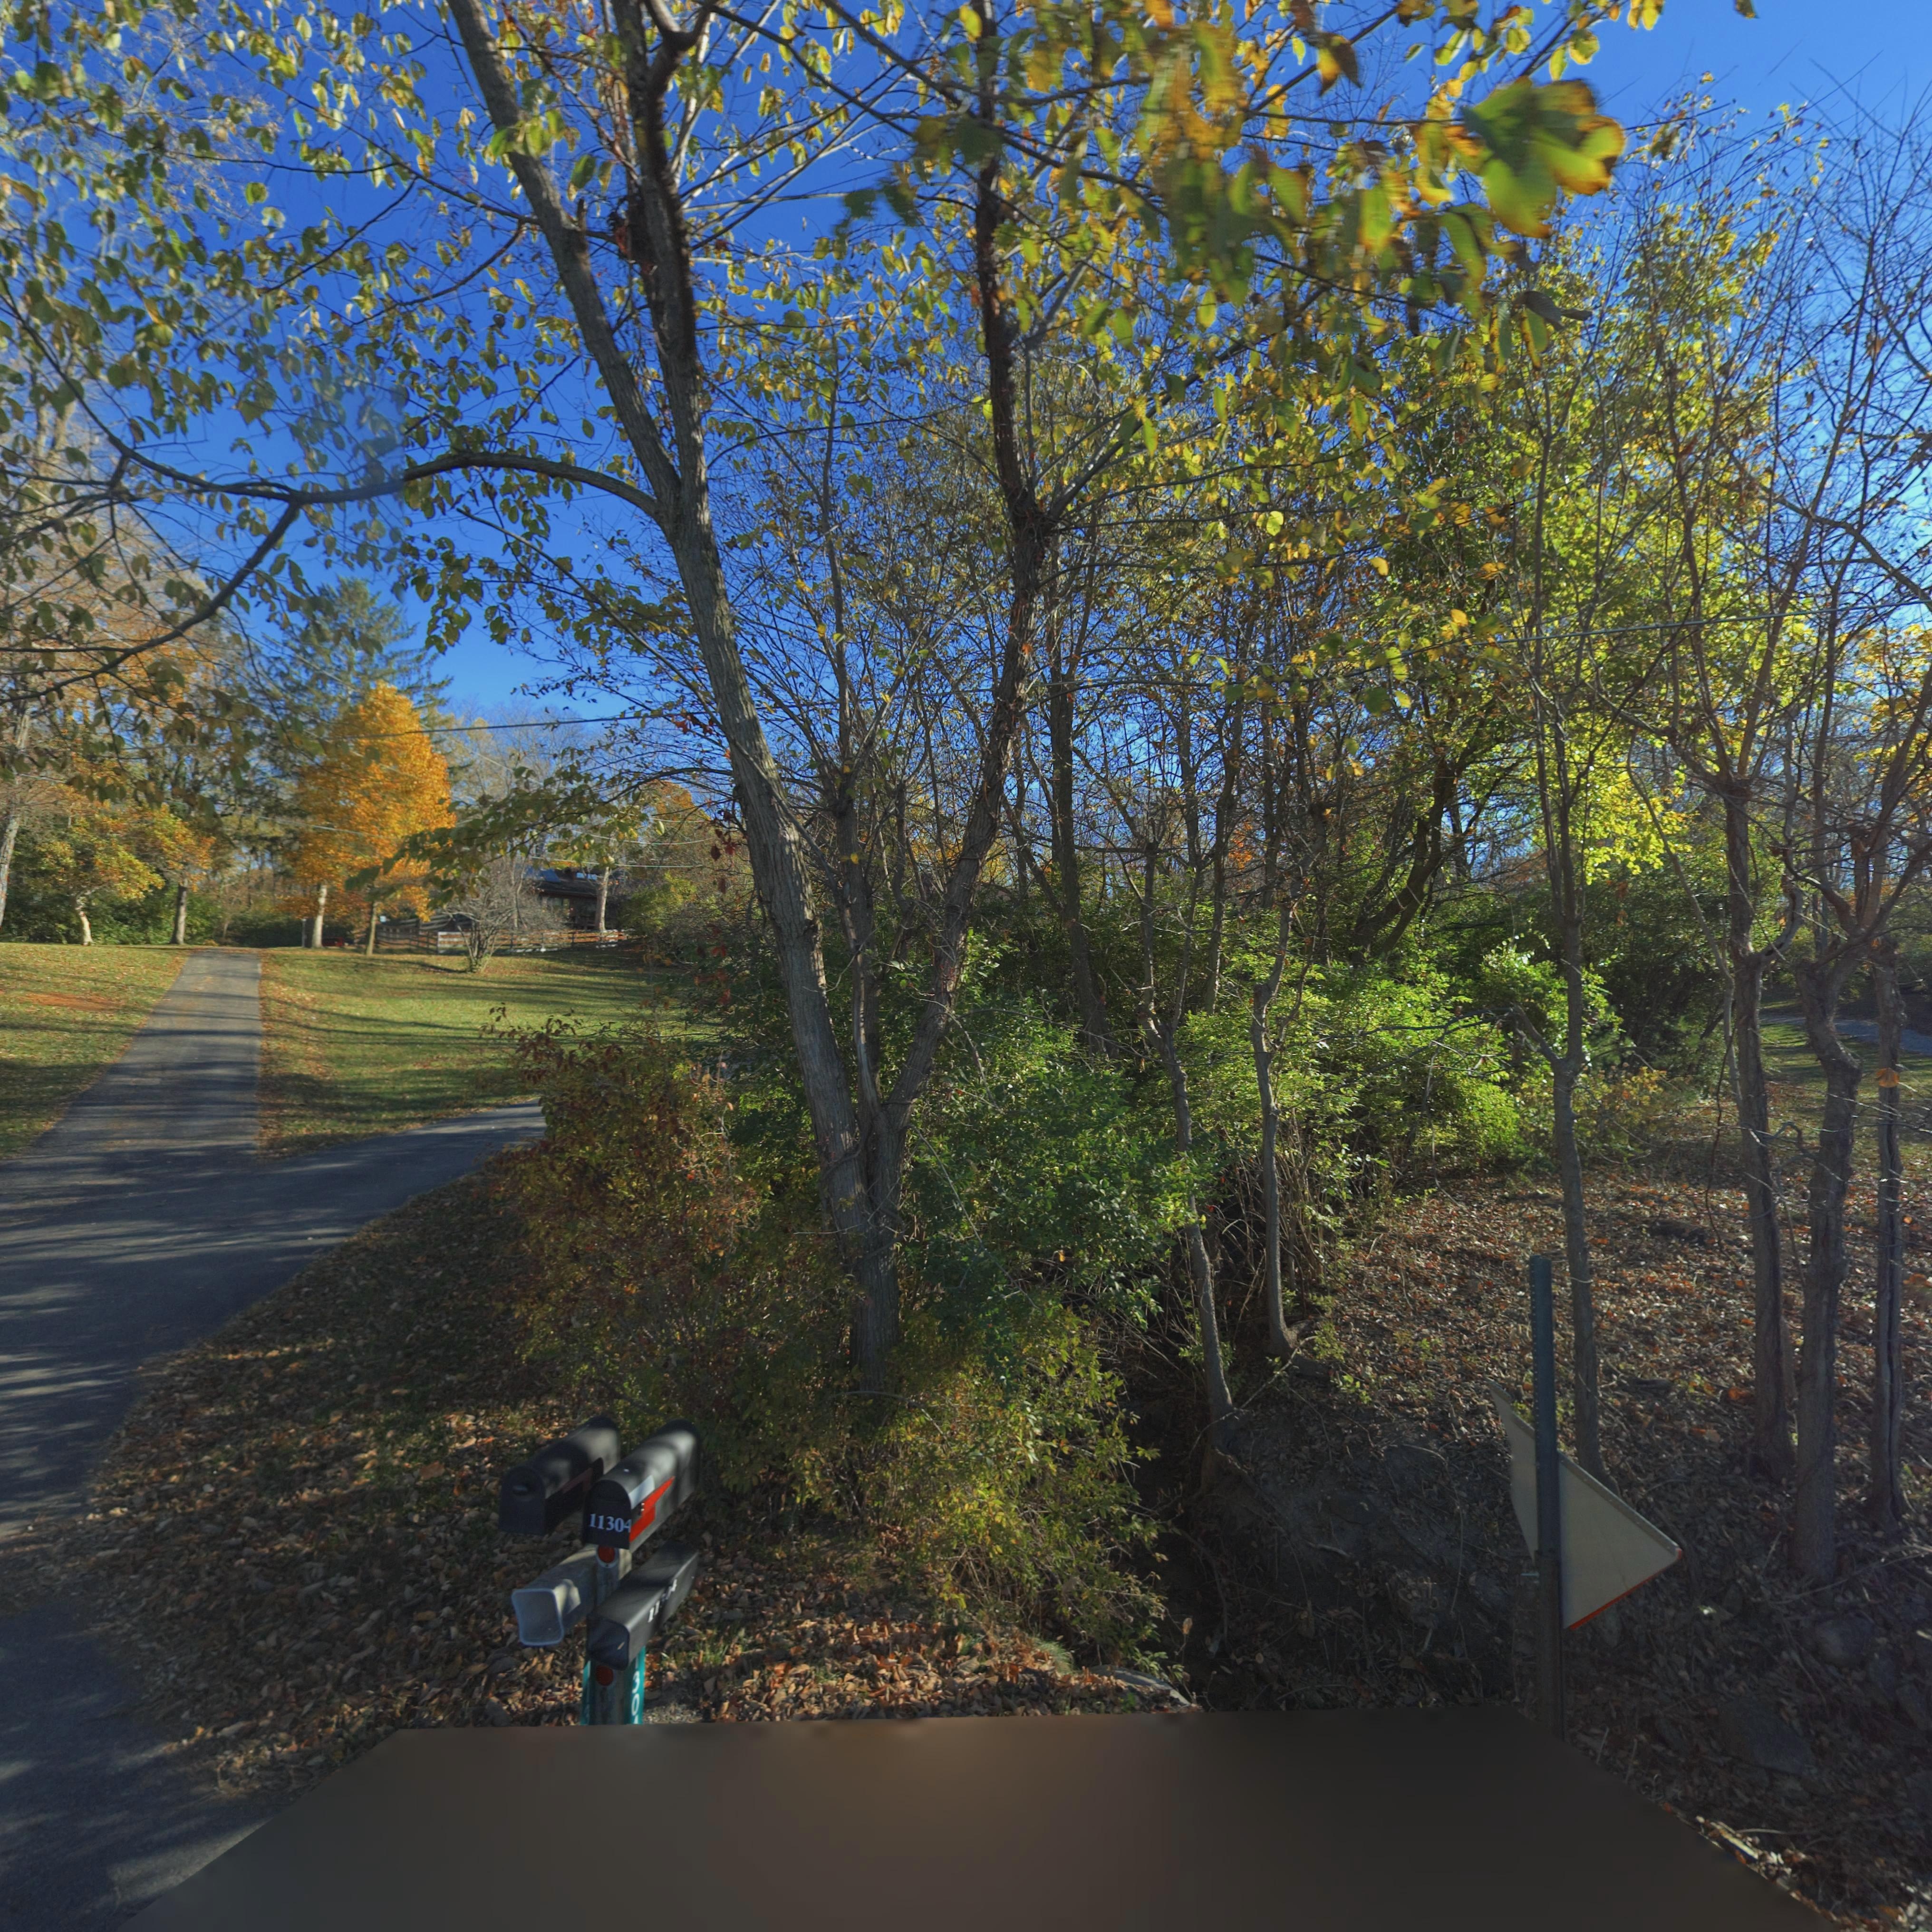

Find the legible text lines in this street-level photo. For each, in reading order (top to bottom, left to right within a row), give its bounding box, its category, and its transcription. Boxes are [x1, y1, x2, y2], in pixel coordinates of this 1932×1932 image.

[587, 1511, 632, 1534] StreetNumber: 11304
[648, 1575, 679, 1626] StreetNumber: 11304